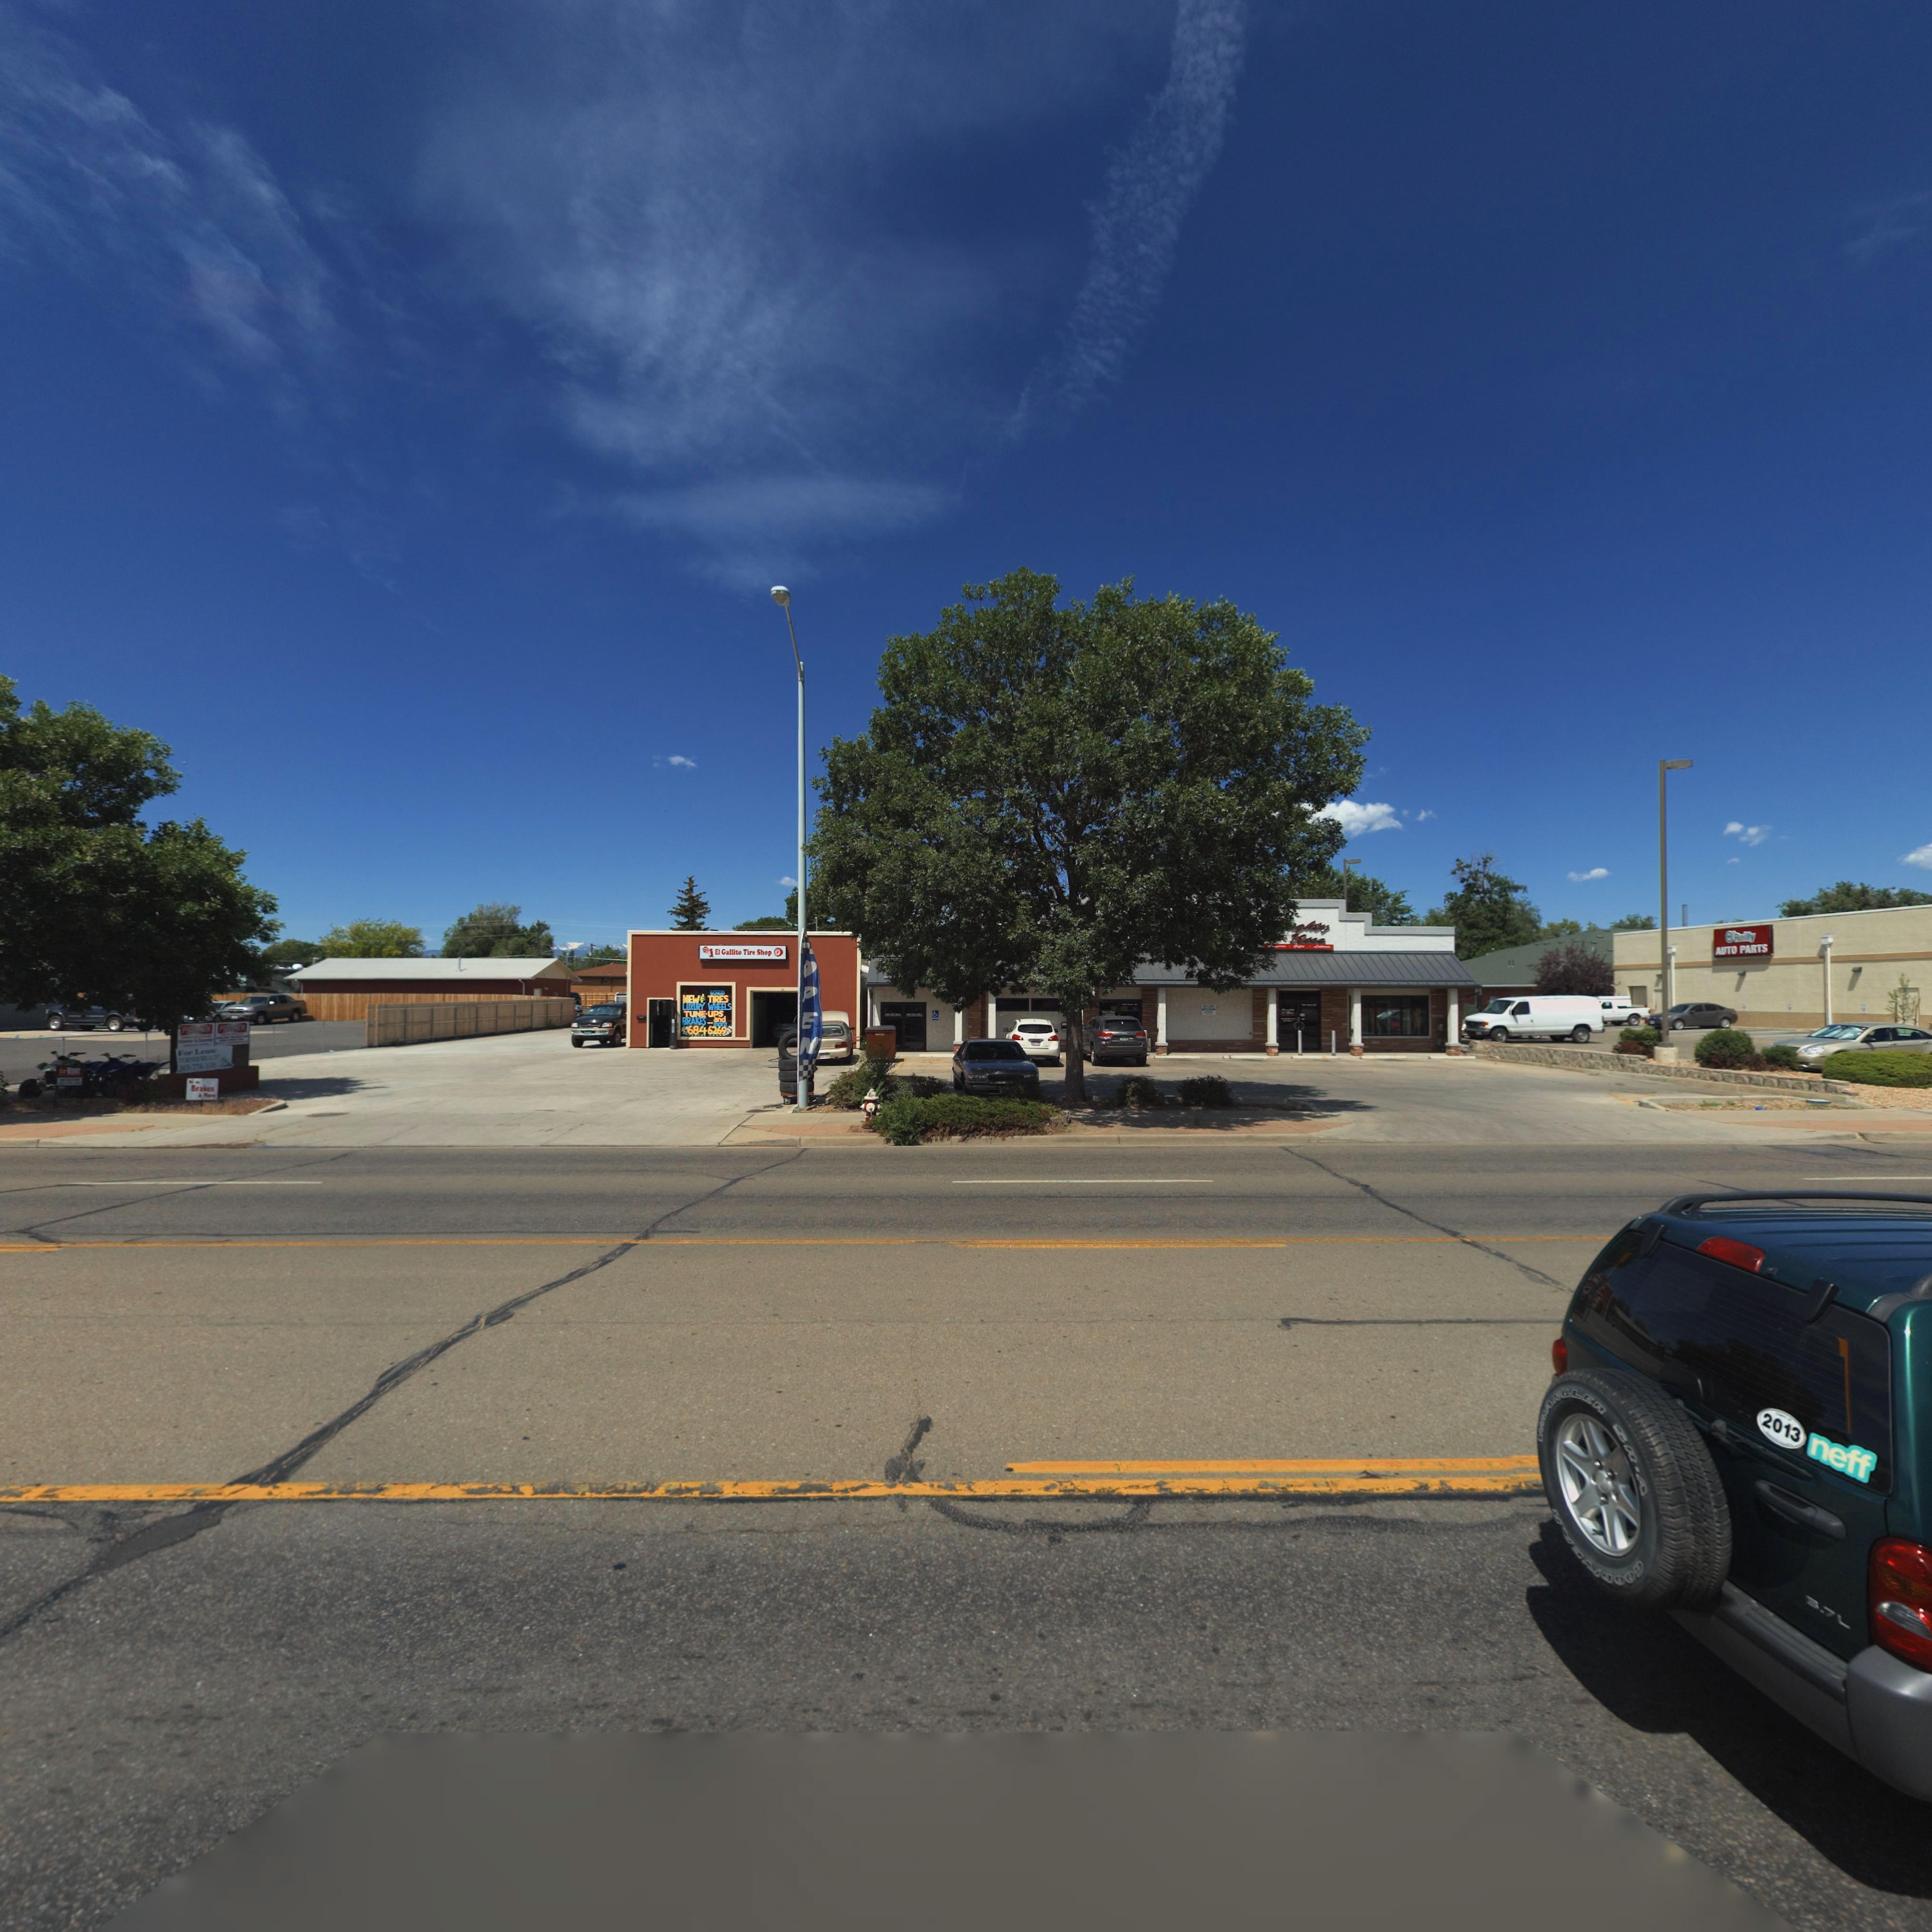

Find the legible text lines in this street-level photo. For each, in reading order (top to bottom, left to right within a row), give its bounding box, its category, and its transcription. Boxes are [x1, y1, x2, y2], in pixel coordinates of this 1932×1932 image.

[1294, 919, 1331, 934] BusinessName: gh*y
[1288, 933, 1326, 944] BusinessName: nice
[1725, 930, 1756, 943] BusinessName: *'Re***y
[715, 948, 772, 956] BusinessName: El Gallito Tire Shop
[1714, 943, 1768, 956] BusinessName: AUTO PARTS